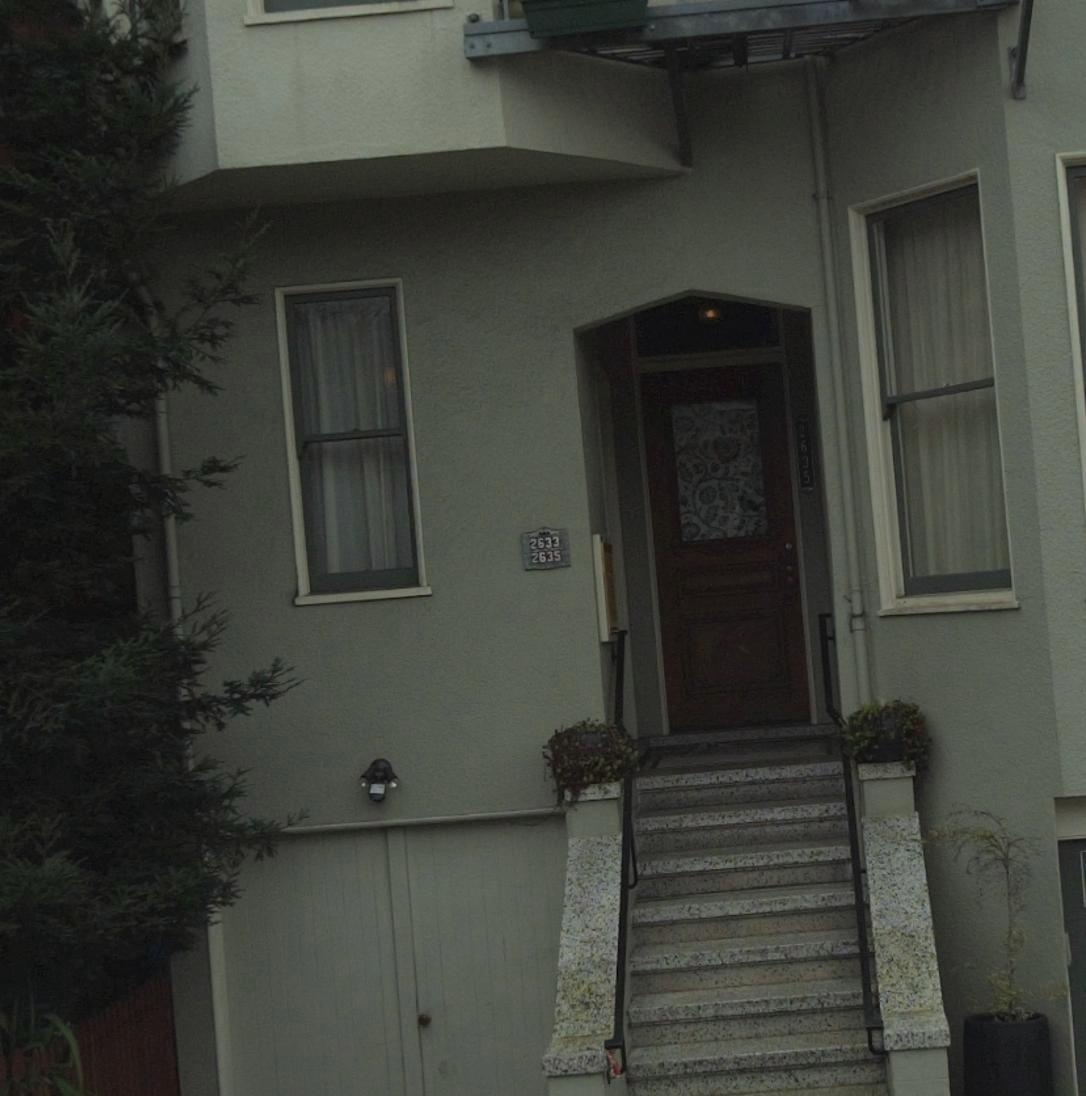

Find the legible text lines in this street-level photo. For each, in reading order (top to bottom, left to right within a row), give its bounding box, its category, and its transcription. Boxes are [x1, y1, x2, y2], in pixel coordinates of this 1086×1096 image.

[797, 424, 811, 485] StreetNumber: 2635
[528, 535, 561, 551] StreetNumber: 2633
[530, 549, 562, 565] StreetNumber: 2635